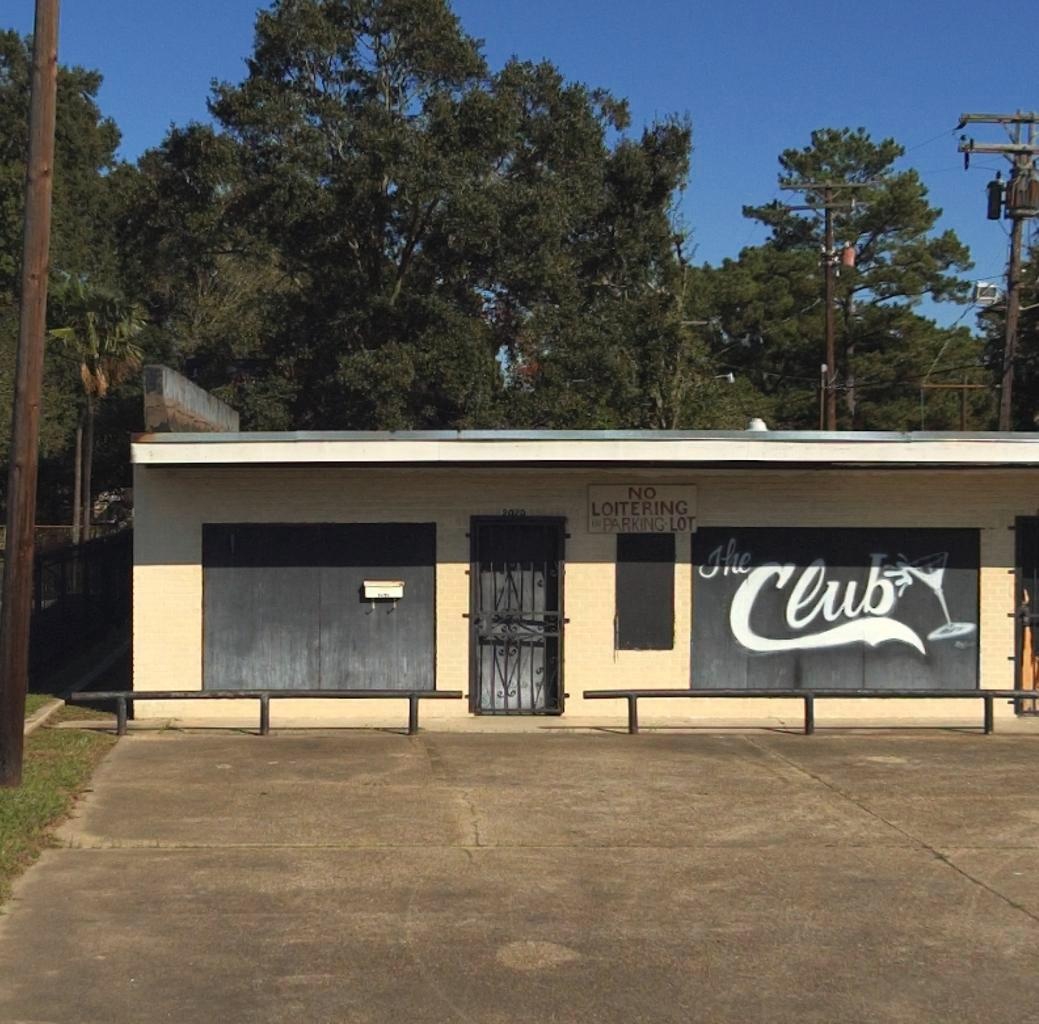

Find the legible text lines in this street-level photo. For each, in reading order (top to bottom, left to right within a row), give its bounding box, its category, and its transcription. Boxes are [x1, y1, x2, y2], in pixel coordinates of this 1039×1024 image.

[627, 486, 656, 499] None: NO
[501, 508, 527, 518] StreetNumber: 2020
[590, 500, 687, 516] None: LOITERING
[602, 516, 695, 531] None: PARKING LOT
[694, 536, 753, 581] None: The
[782, 551, 898, 632] None: lub